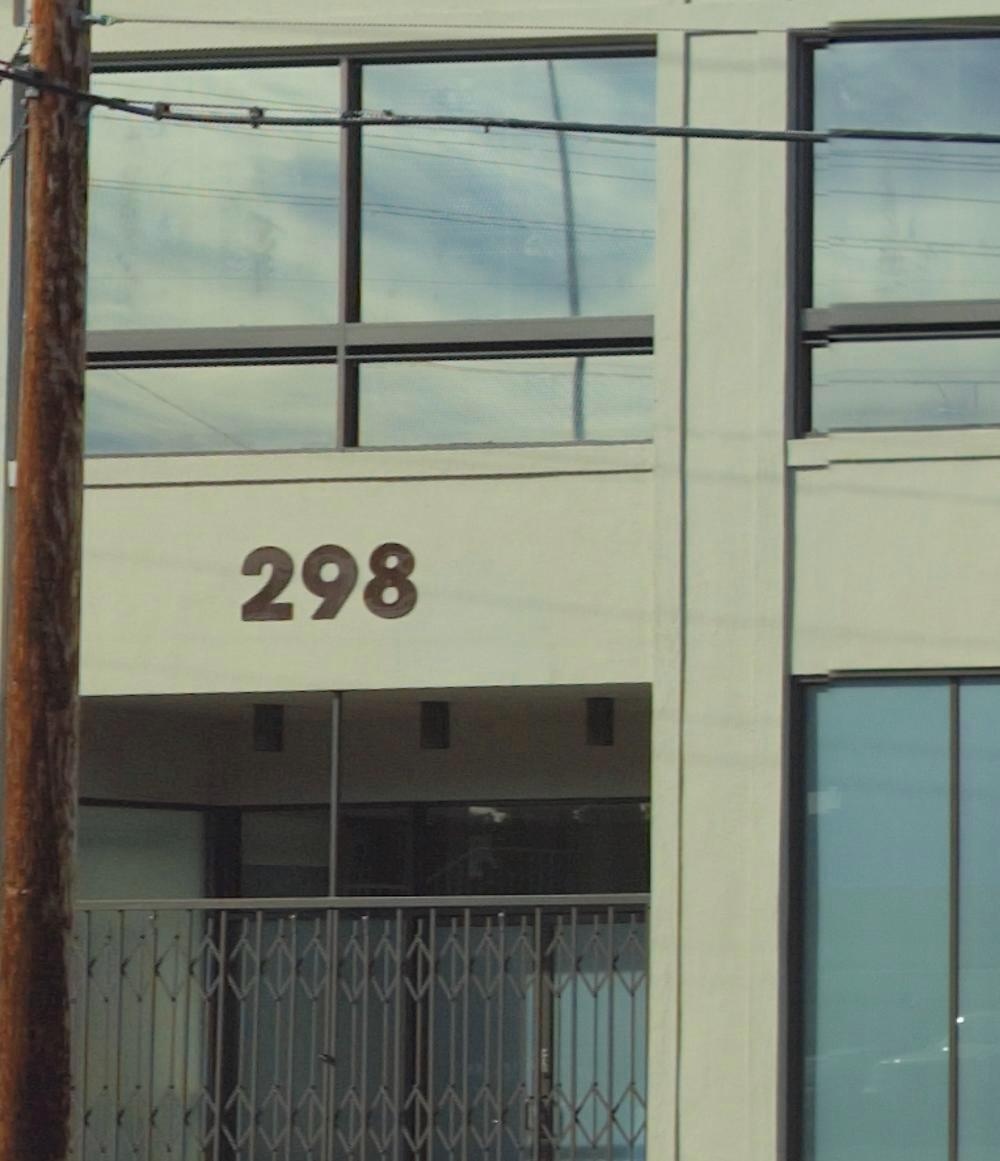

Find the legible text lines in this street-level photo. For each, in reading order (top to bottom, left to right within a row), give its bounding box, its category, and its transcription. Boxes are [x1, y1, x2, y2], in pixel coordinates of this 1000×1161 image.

[238, 538, 421, 625] StreetNumber: 298